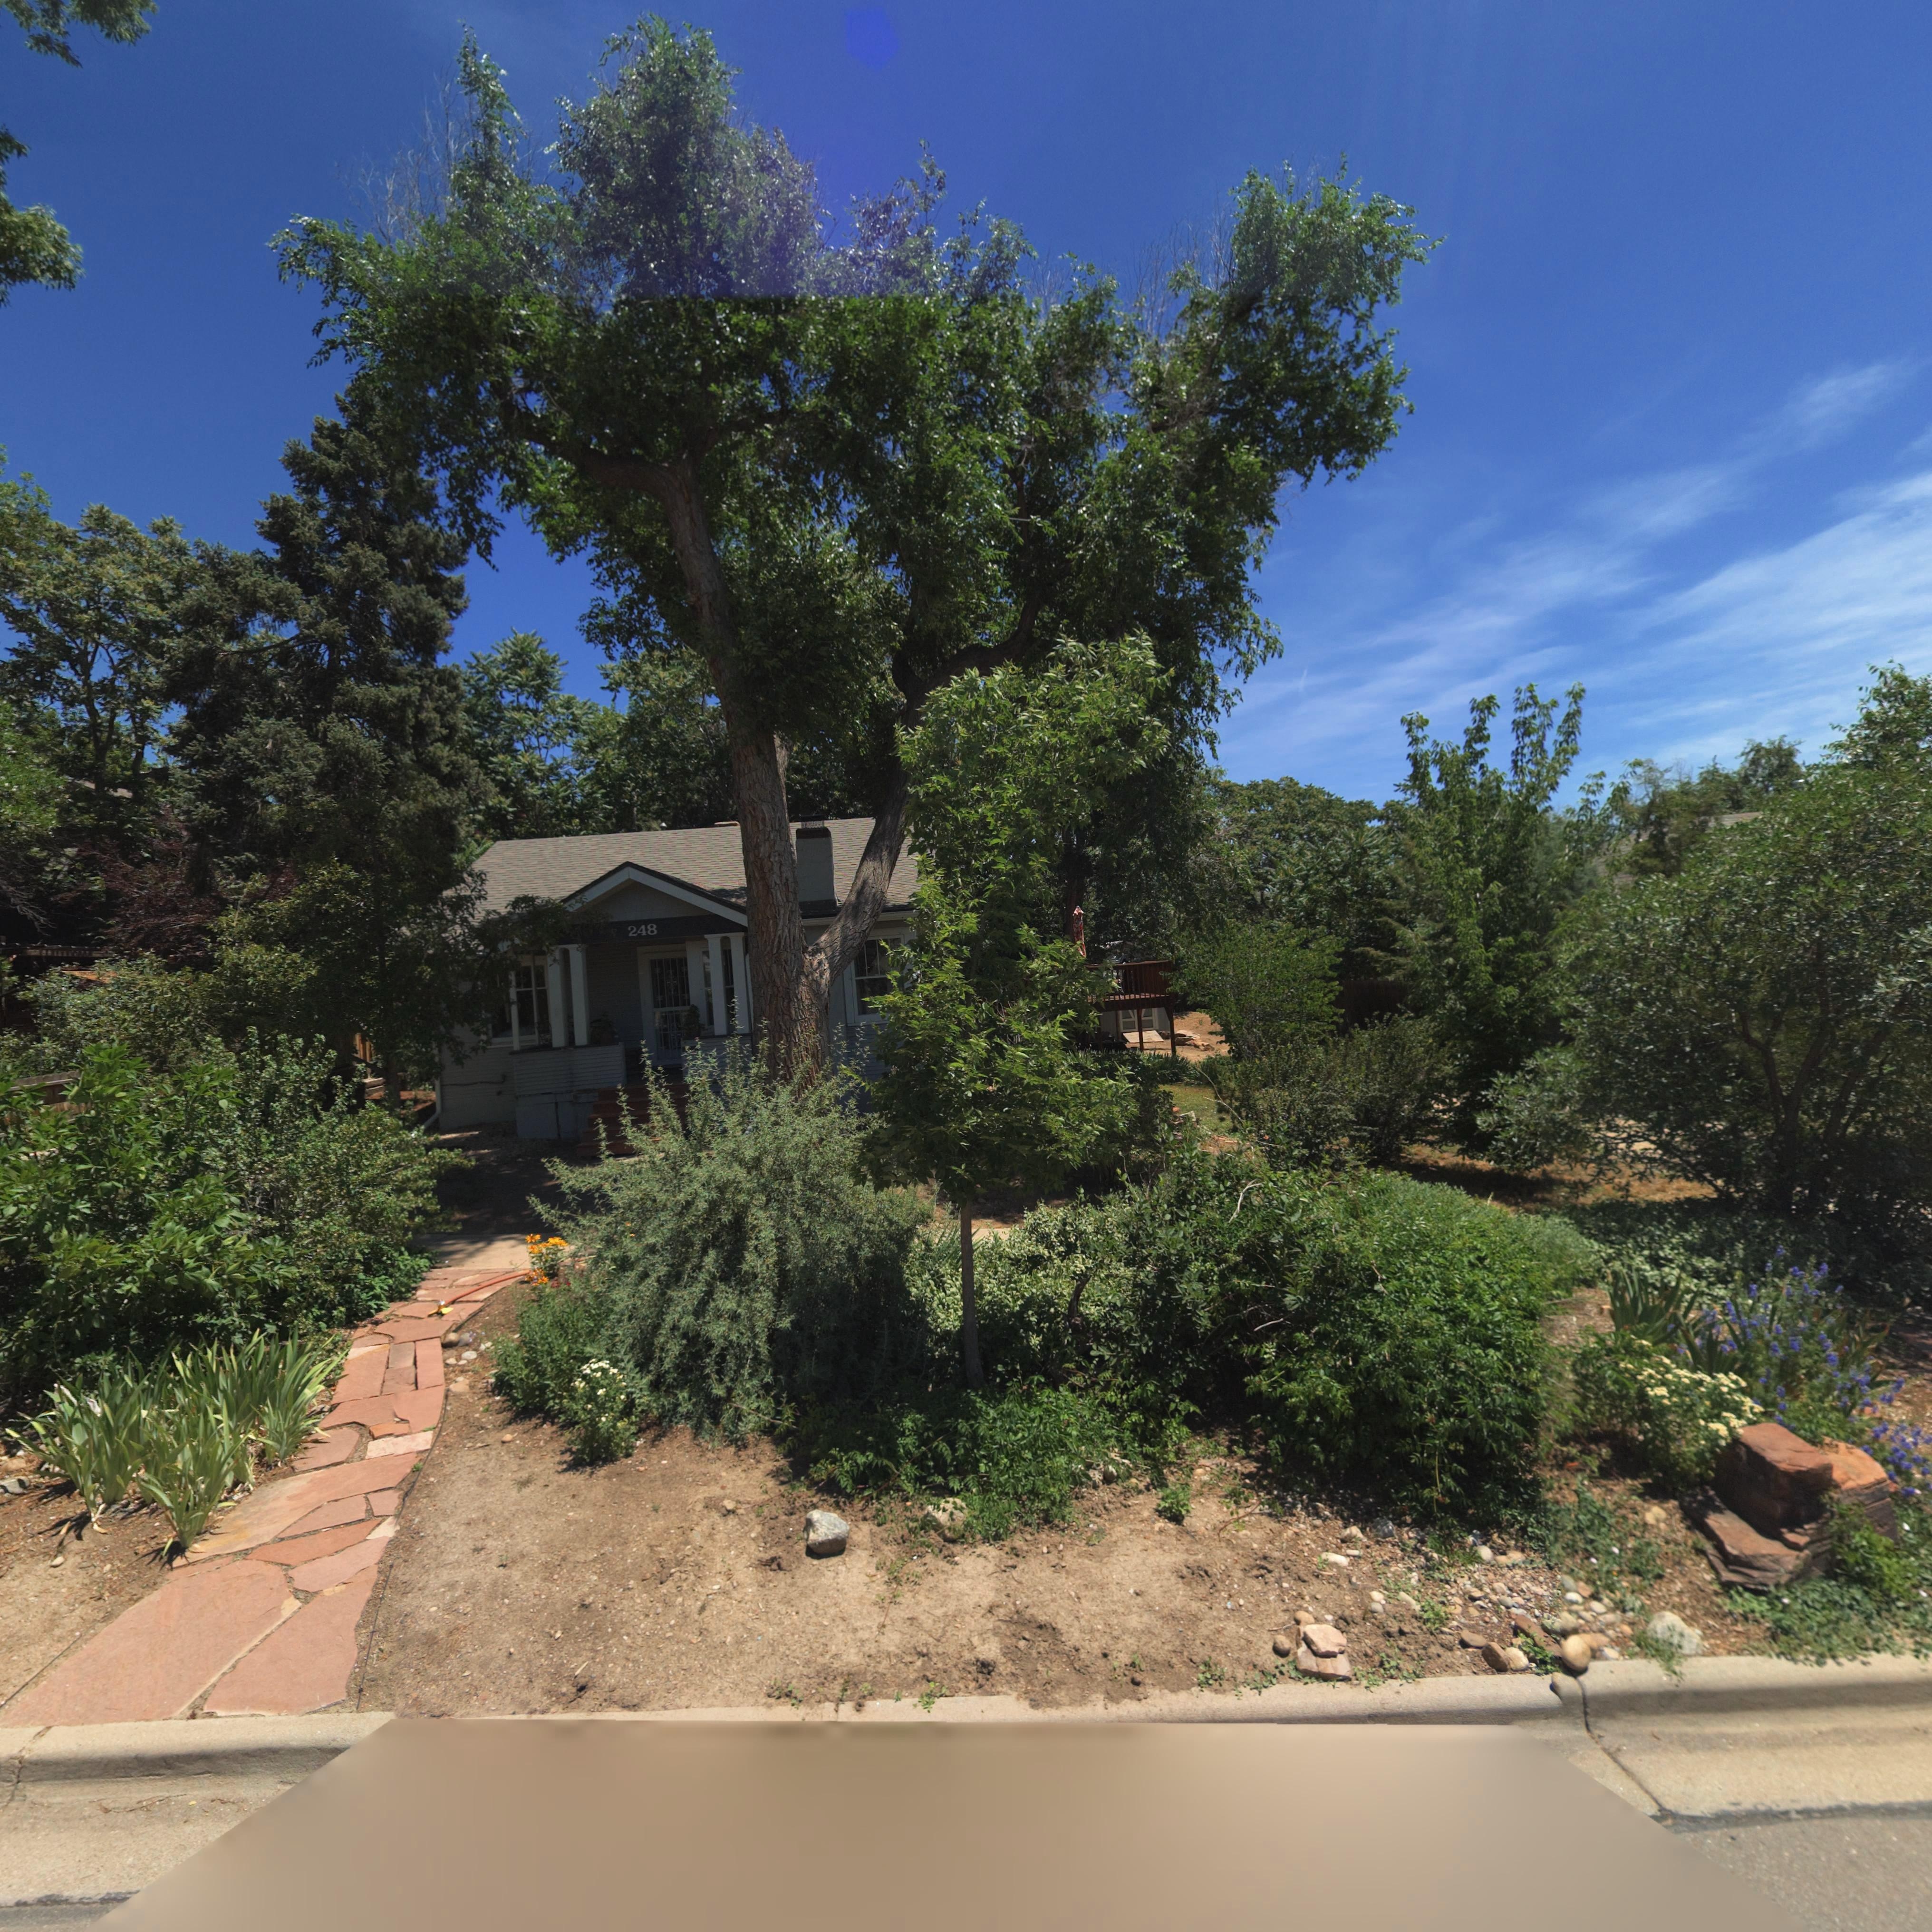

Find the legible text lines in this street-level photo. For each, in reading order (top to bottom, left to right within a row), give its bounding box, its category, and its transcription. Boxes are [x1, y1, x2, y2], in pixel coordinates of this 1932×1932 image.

[627, 924, 657, 937] StreetNumber: 248